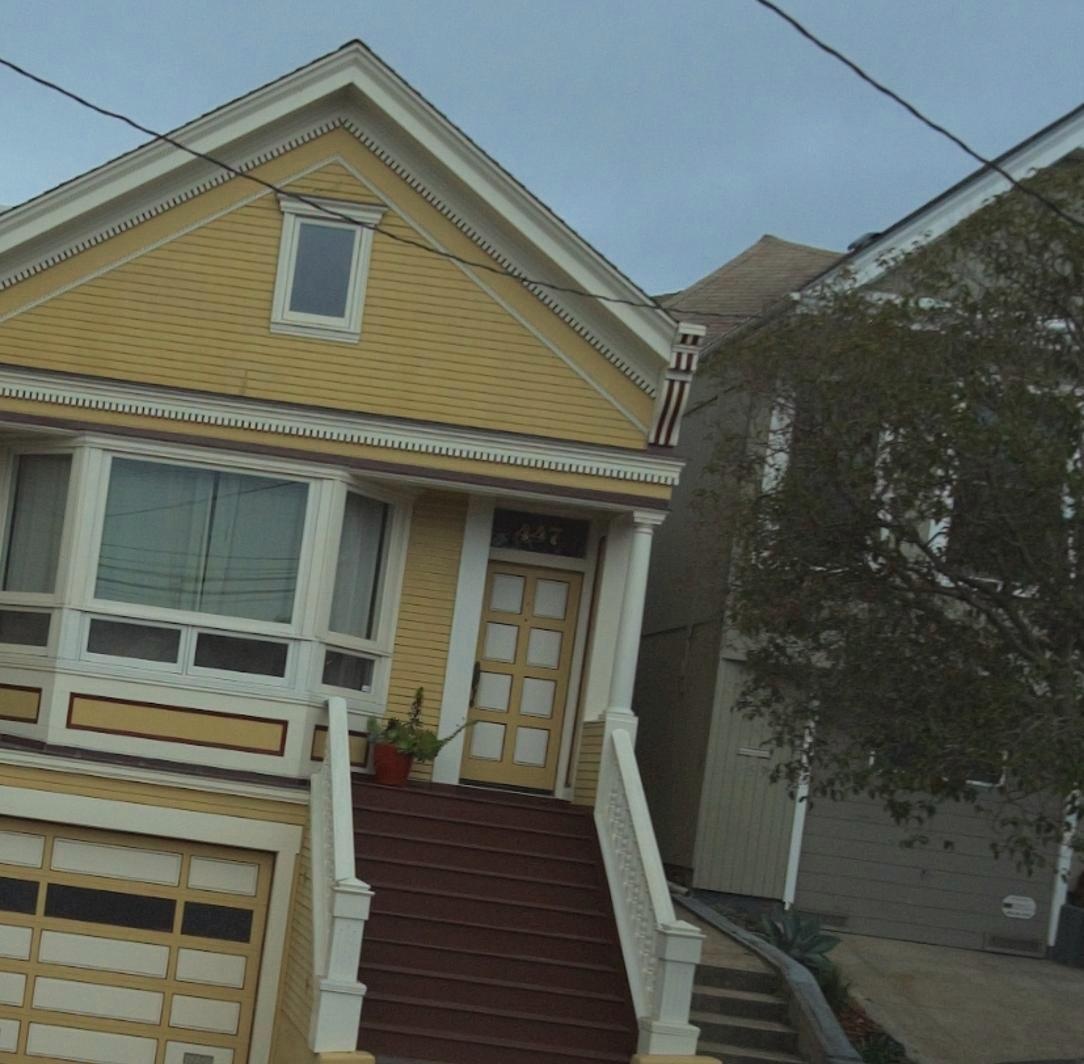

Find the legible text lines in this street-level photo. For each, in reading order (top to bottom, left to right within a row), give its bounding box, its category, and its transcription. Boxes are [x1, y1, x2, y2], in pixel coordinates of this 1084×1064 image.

[514, 521, 565, 547] StreetNumber: 447